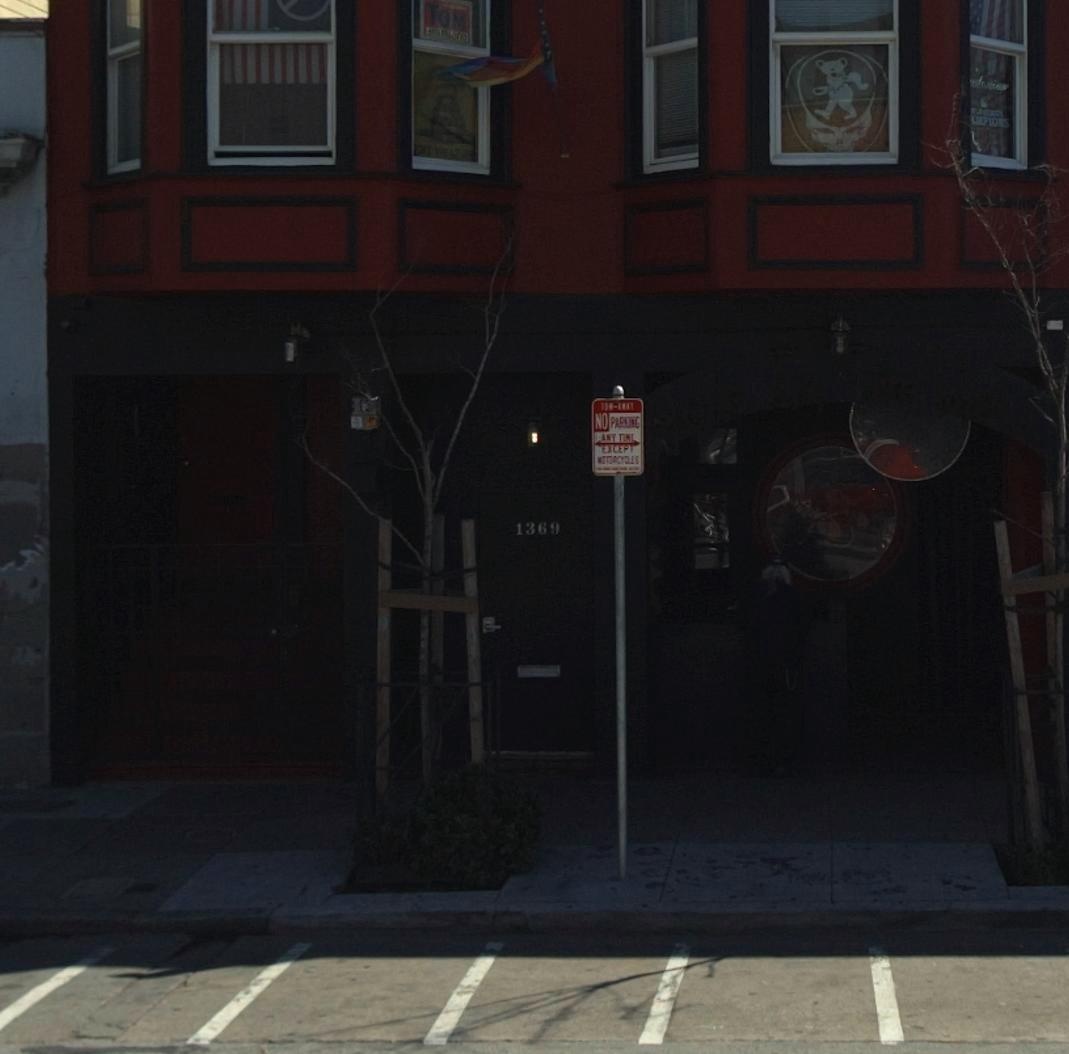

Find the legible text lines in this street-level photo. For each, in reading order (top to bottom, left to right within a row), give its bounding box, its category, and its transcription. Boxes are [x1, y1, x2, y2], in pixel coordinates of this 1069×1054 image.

[974, 113, 1011, 132] None: MPIO*S
[598, 400, 638, 413] None: TOW-AWAY
[592, 410, 642, 432] None: NO PARKING
[598, 431, 636, 444] None: ANY TIME
[599, 442, 636, 455] None: EXCEPT
[595, 453, 641, 467] None: MOTORCYCLES
[513, 518, 564, 540] StreetNumber: 1369